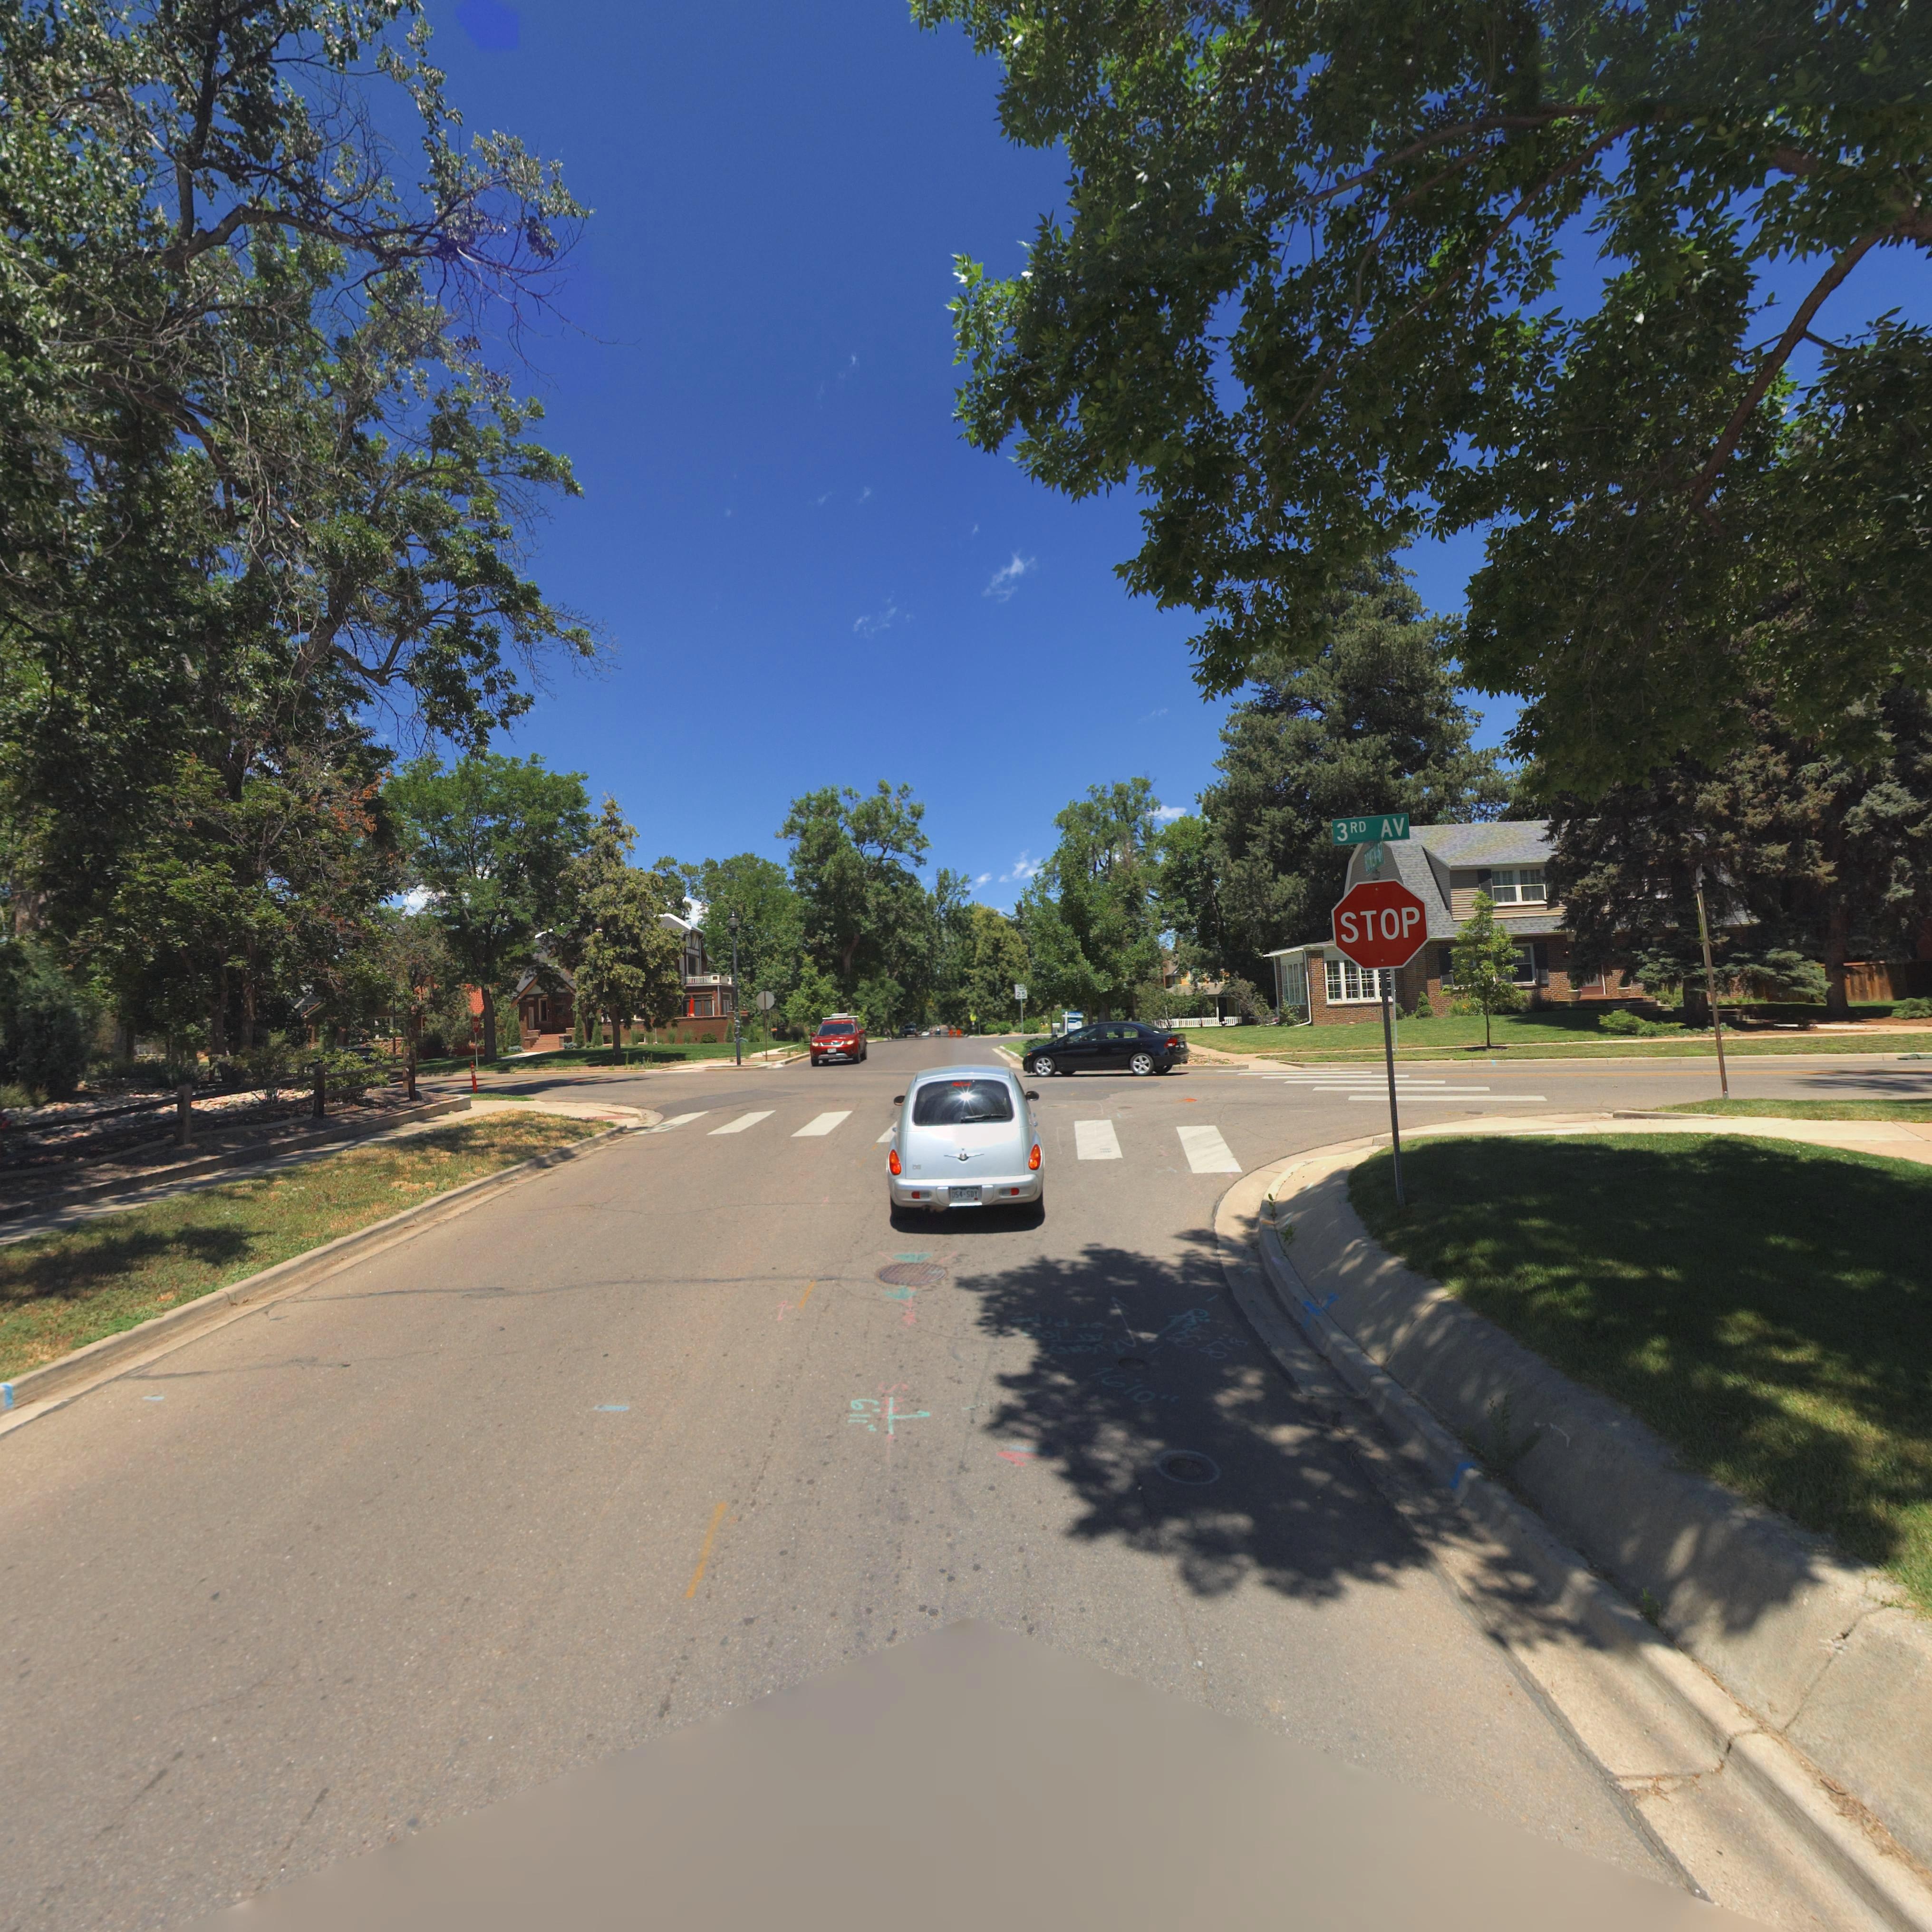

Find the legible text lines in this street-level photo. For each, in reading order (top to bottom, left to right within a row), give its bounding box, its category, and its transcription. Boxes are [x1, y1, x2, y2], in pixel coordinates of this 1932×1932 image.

[1336, 817, 1404, 841] StreetName: 3RD AV
[1364, 840, 1383, 872] StreetName: B**E* ST